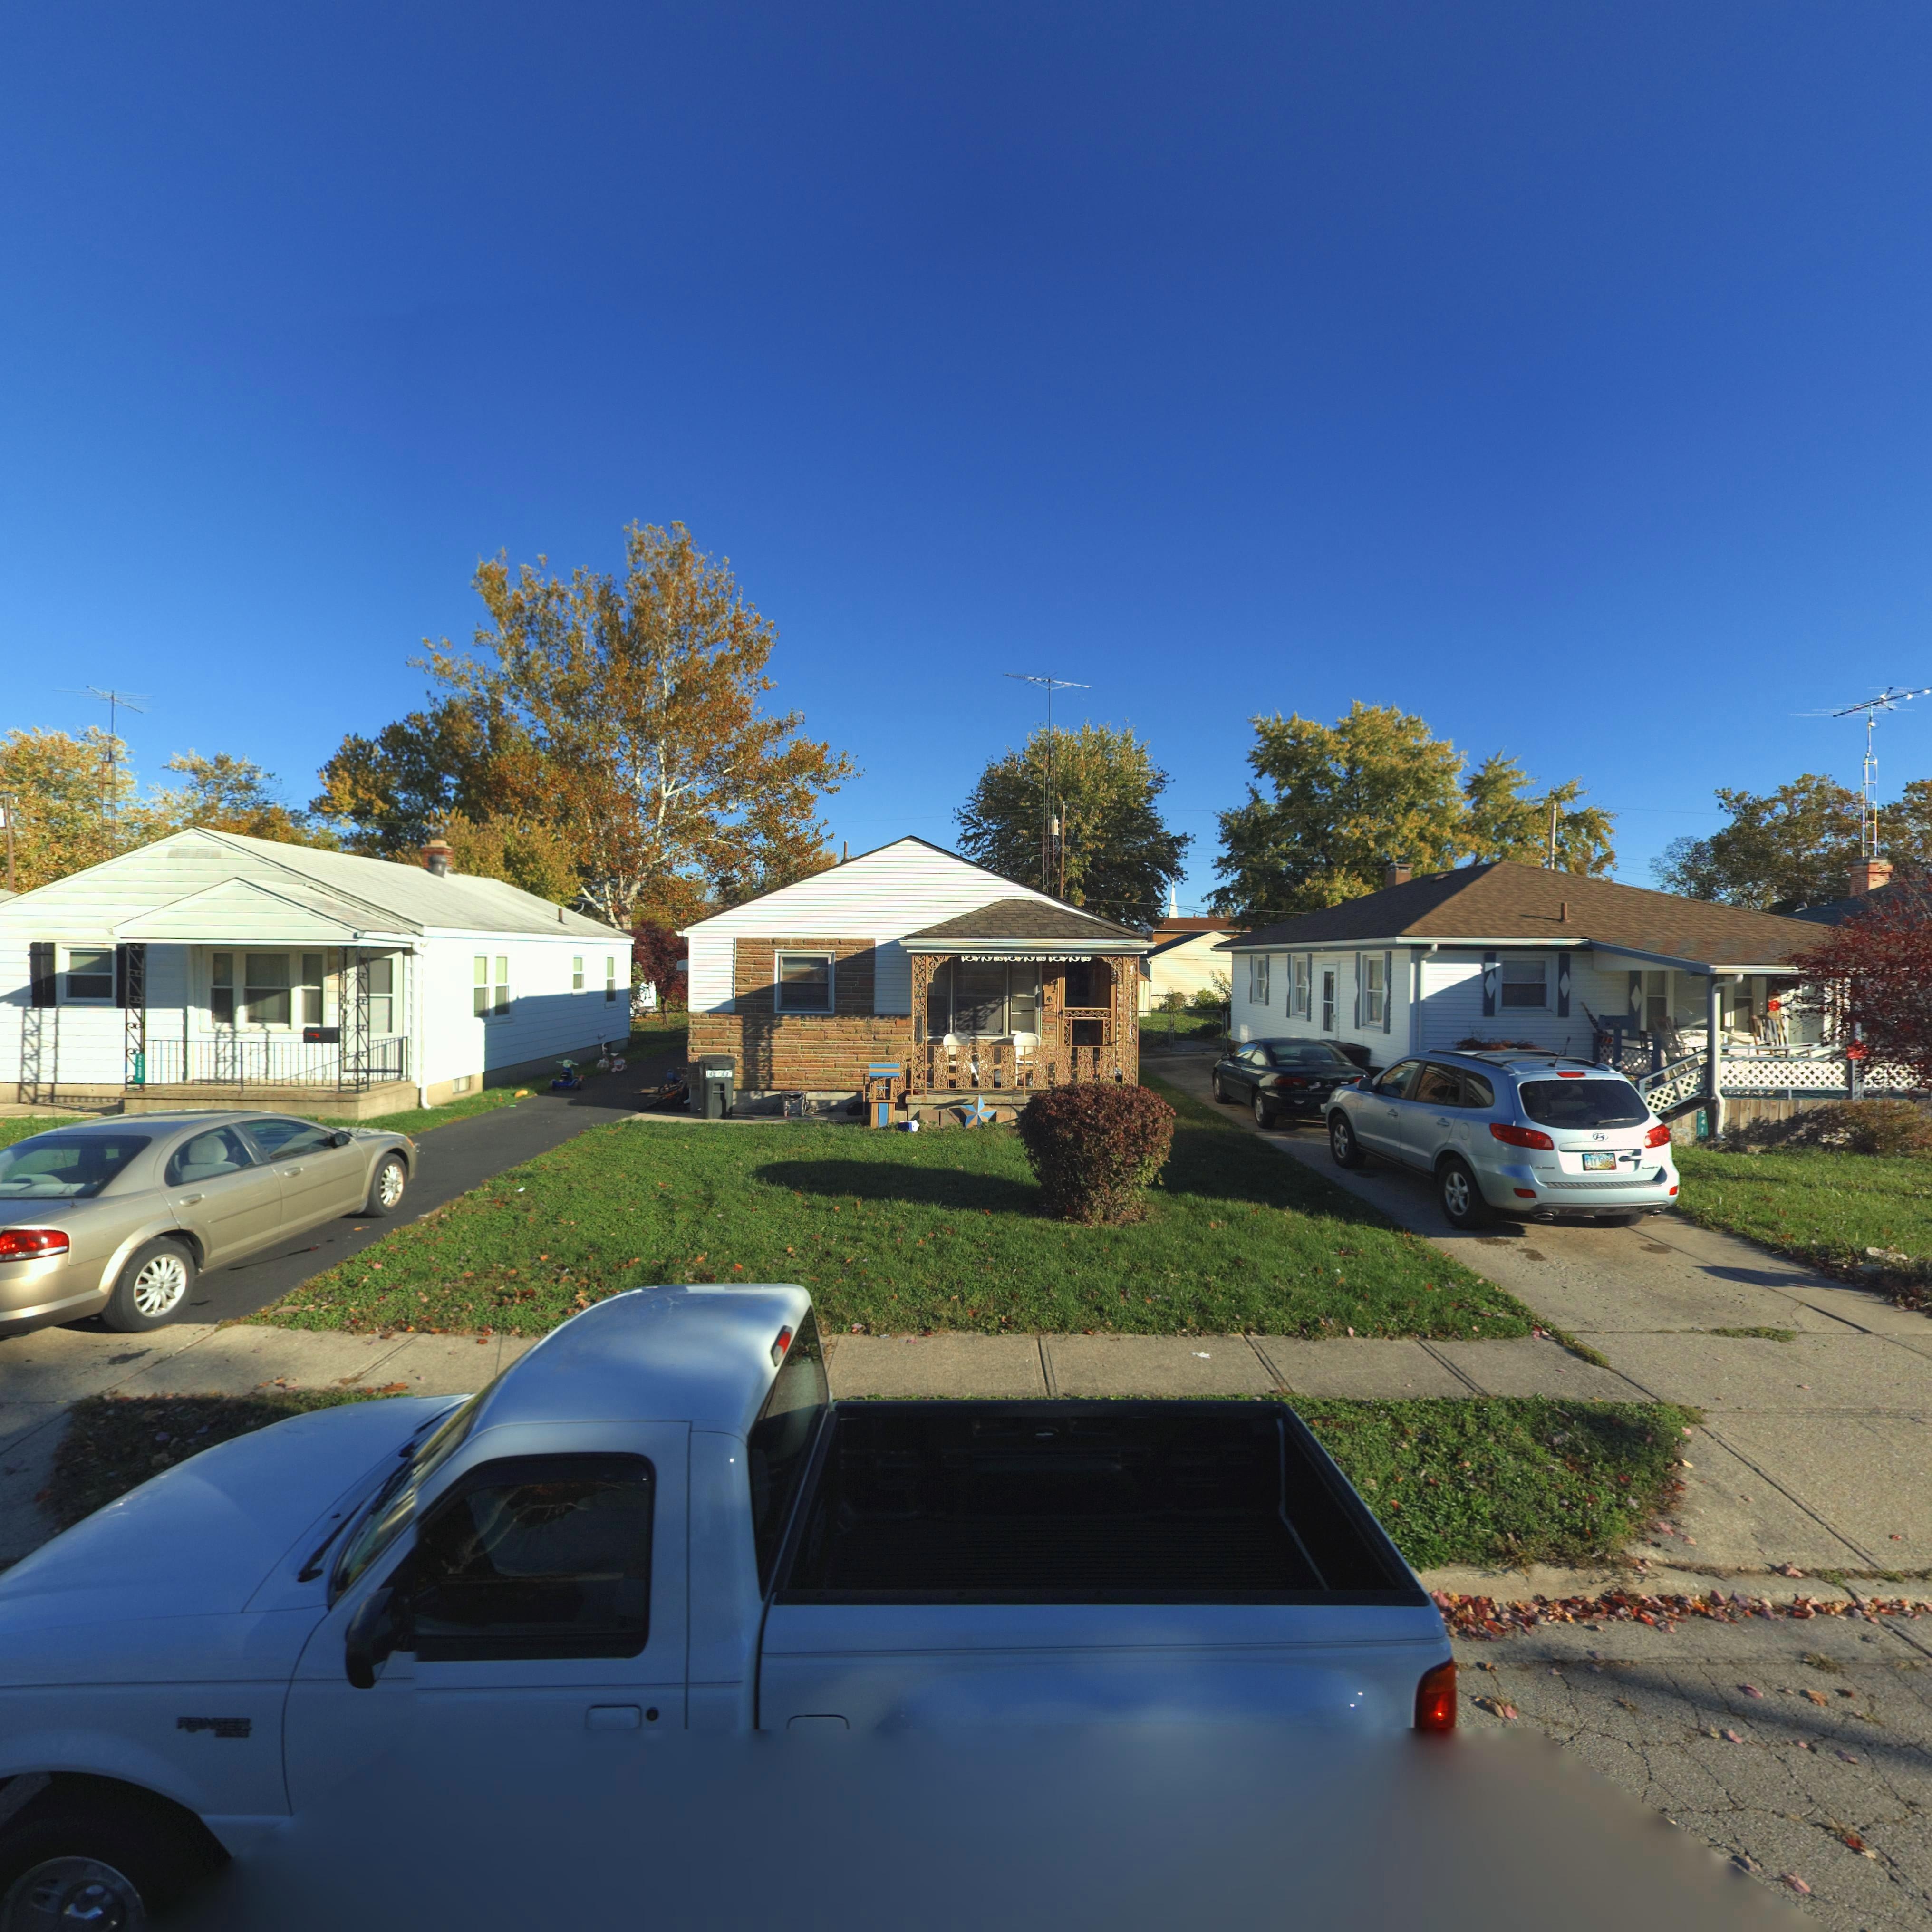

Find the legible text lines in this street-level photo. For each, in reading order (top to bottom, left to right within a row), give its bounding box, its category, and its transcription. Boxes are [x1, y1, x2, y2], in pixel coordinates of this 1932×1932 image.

[918, 1017, 922, 1042] StreetNumber: 2425
[136, 1054, 143, 1078] StreetNumber: 2433
[1700, 1111, 1706, 1143] StreetNumber: 2415